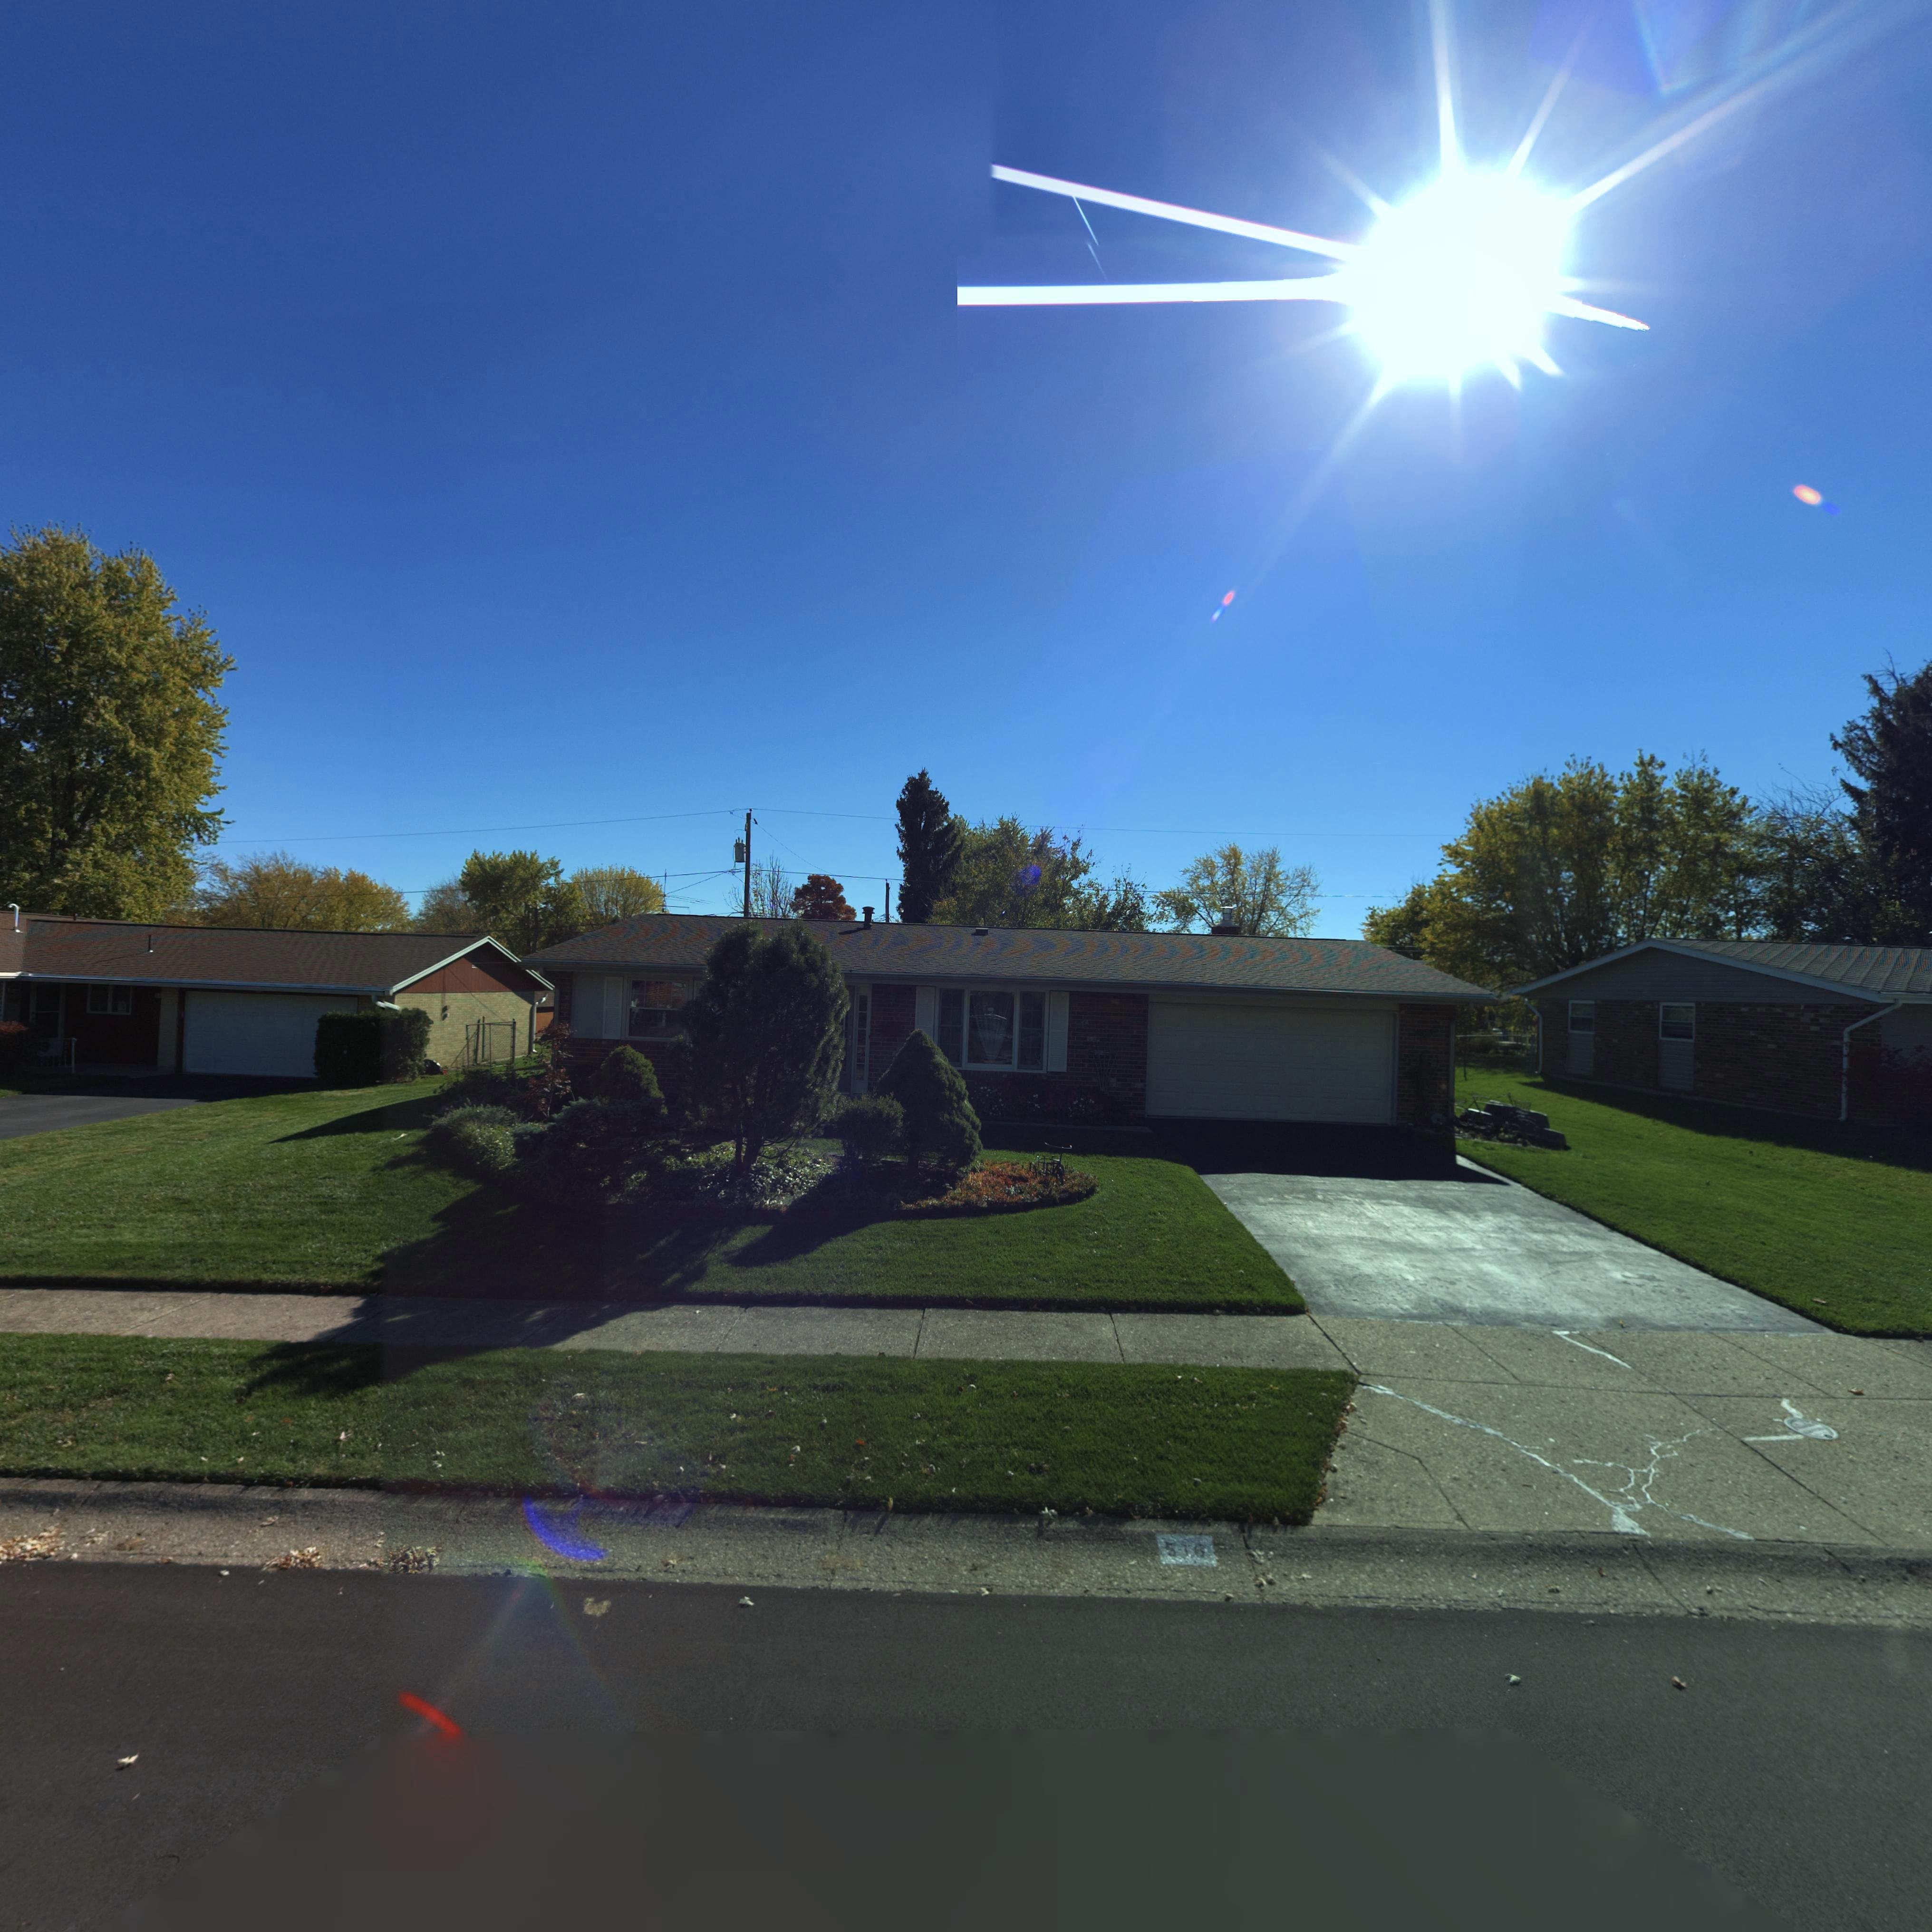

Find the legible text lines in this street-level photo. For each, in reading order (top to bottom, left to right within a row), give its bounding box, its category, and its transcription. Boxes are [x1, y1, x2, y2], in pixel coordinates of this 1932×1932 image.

[1163, 1540, 1207, 1559] StreetNumber: 516